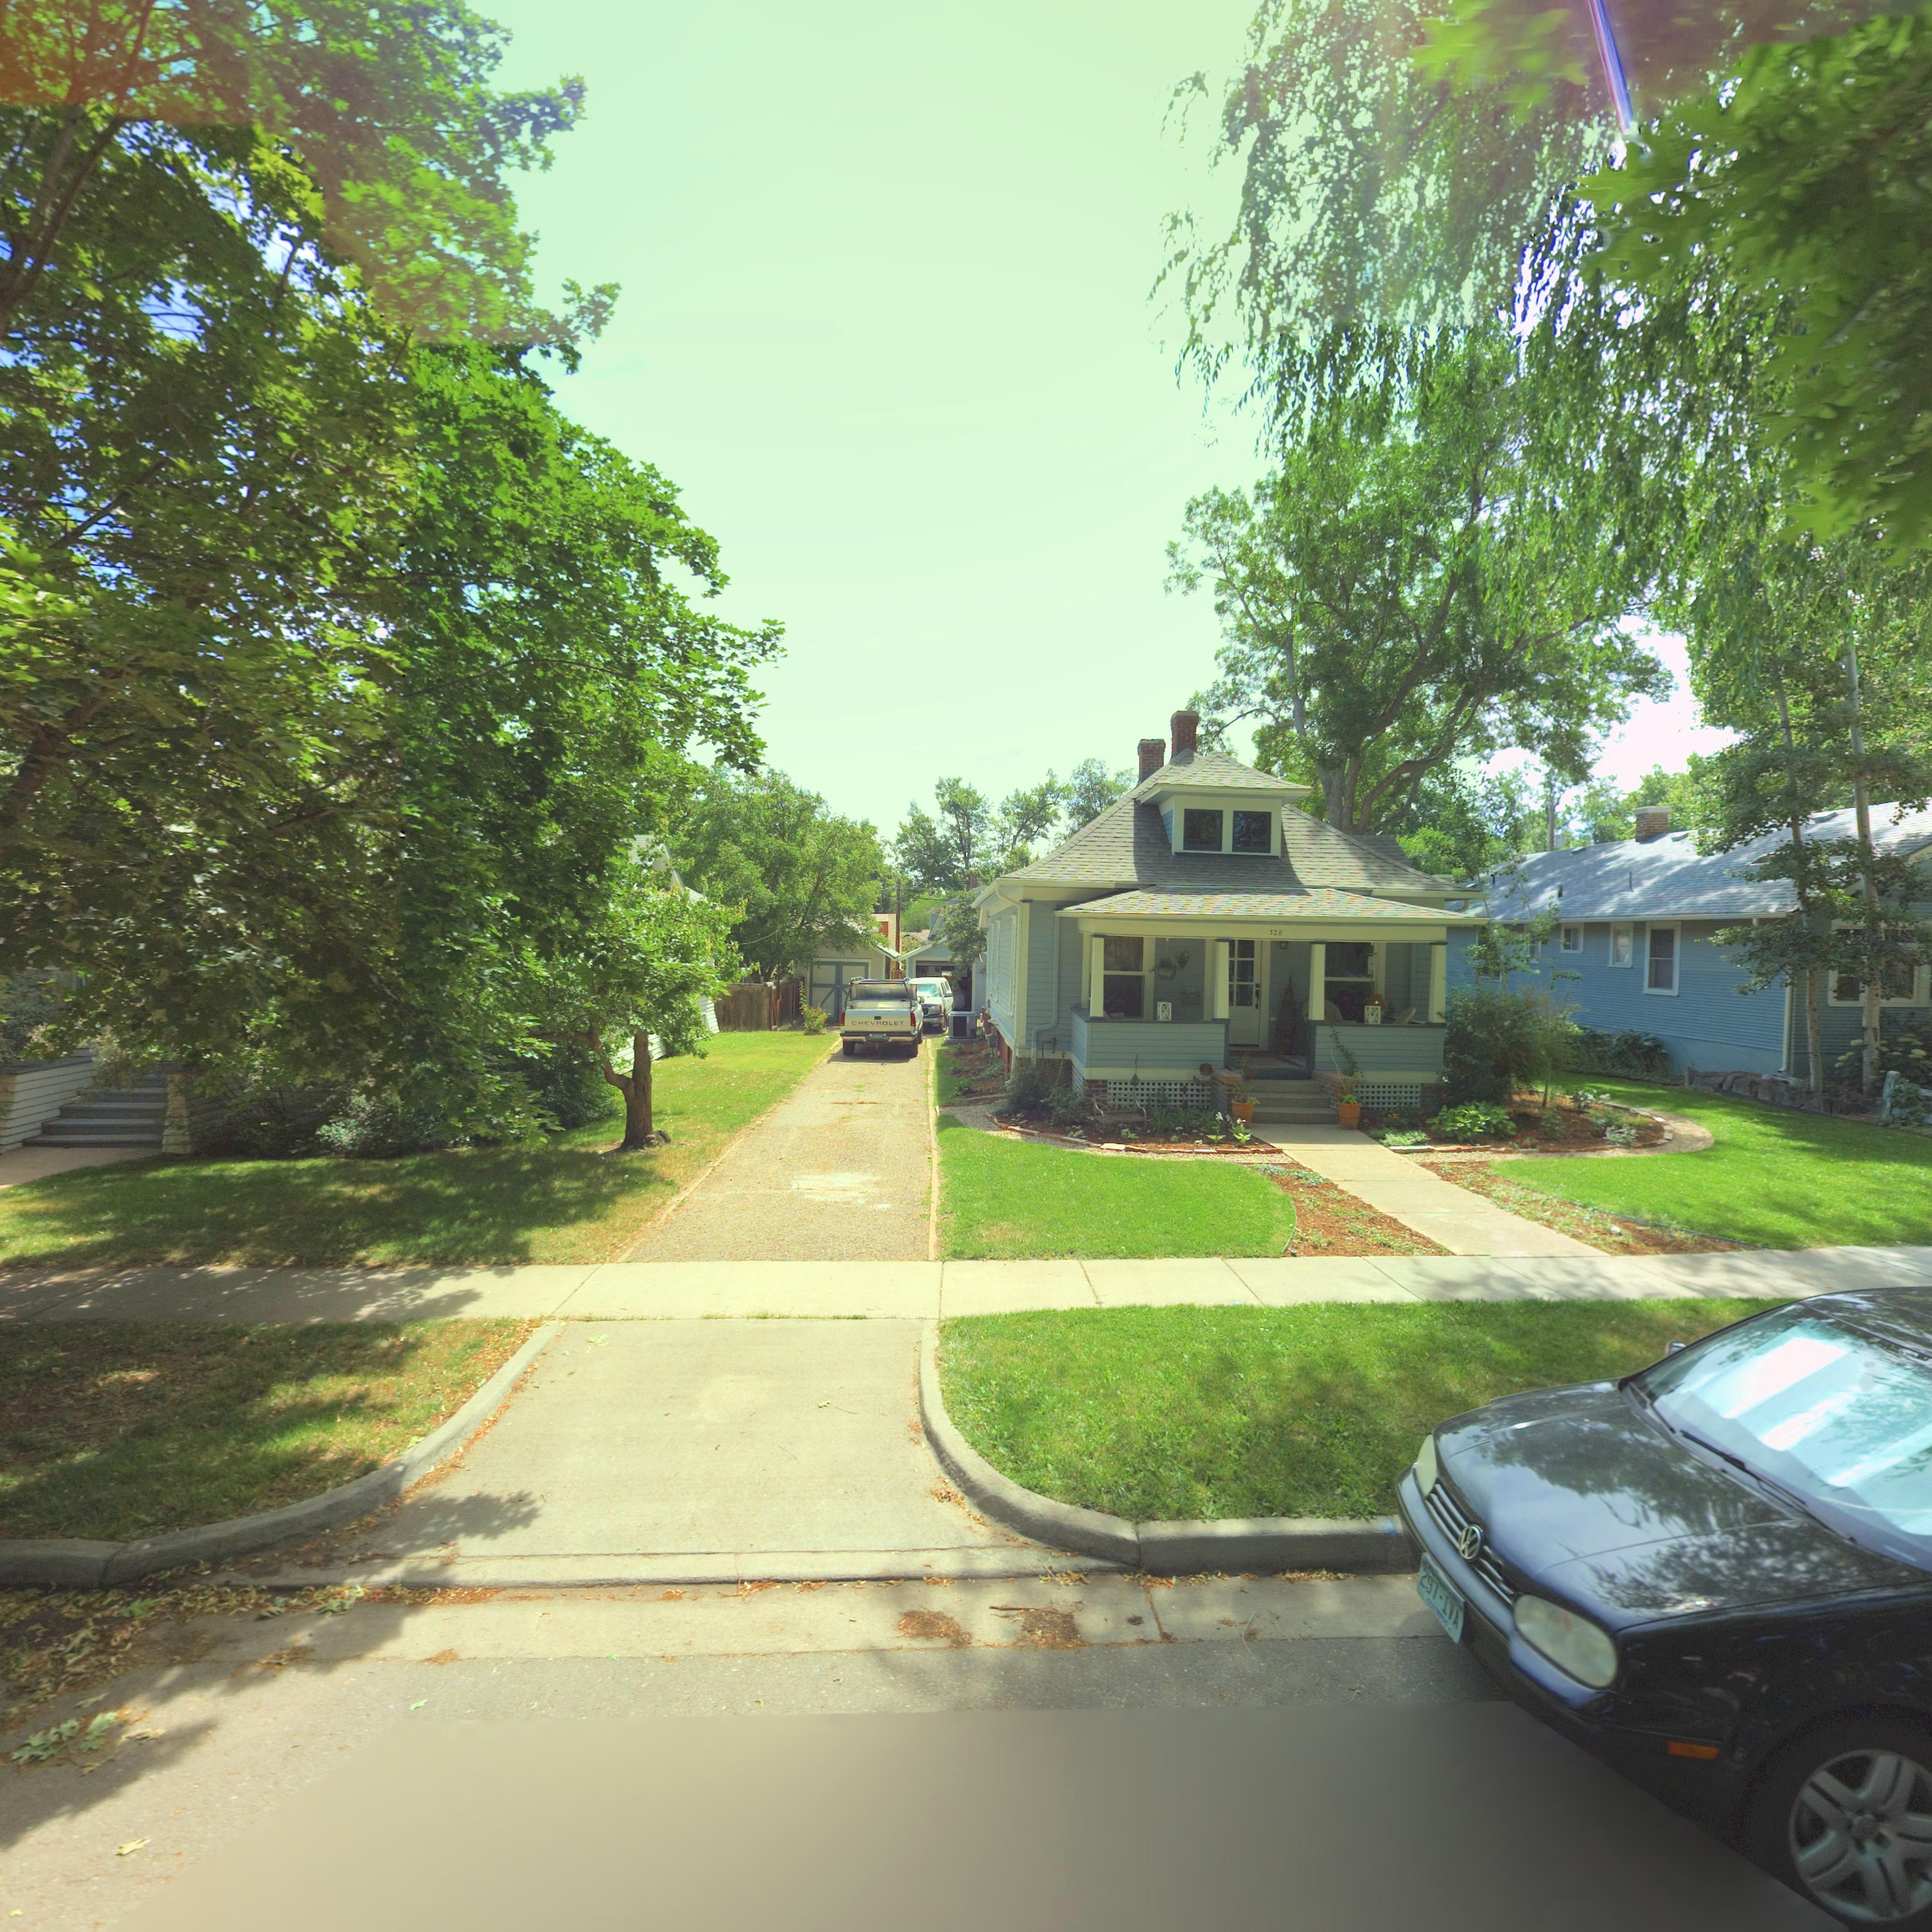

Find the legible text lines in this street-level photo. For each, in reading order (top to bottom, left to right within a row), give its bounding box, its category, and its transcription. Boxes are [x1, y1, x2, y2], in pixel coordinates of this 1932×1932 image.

[1269, 929, 1282, 936] StreetNumber: 328